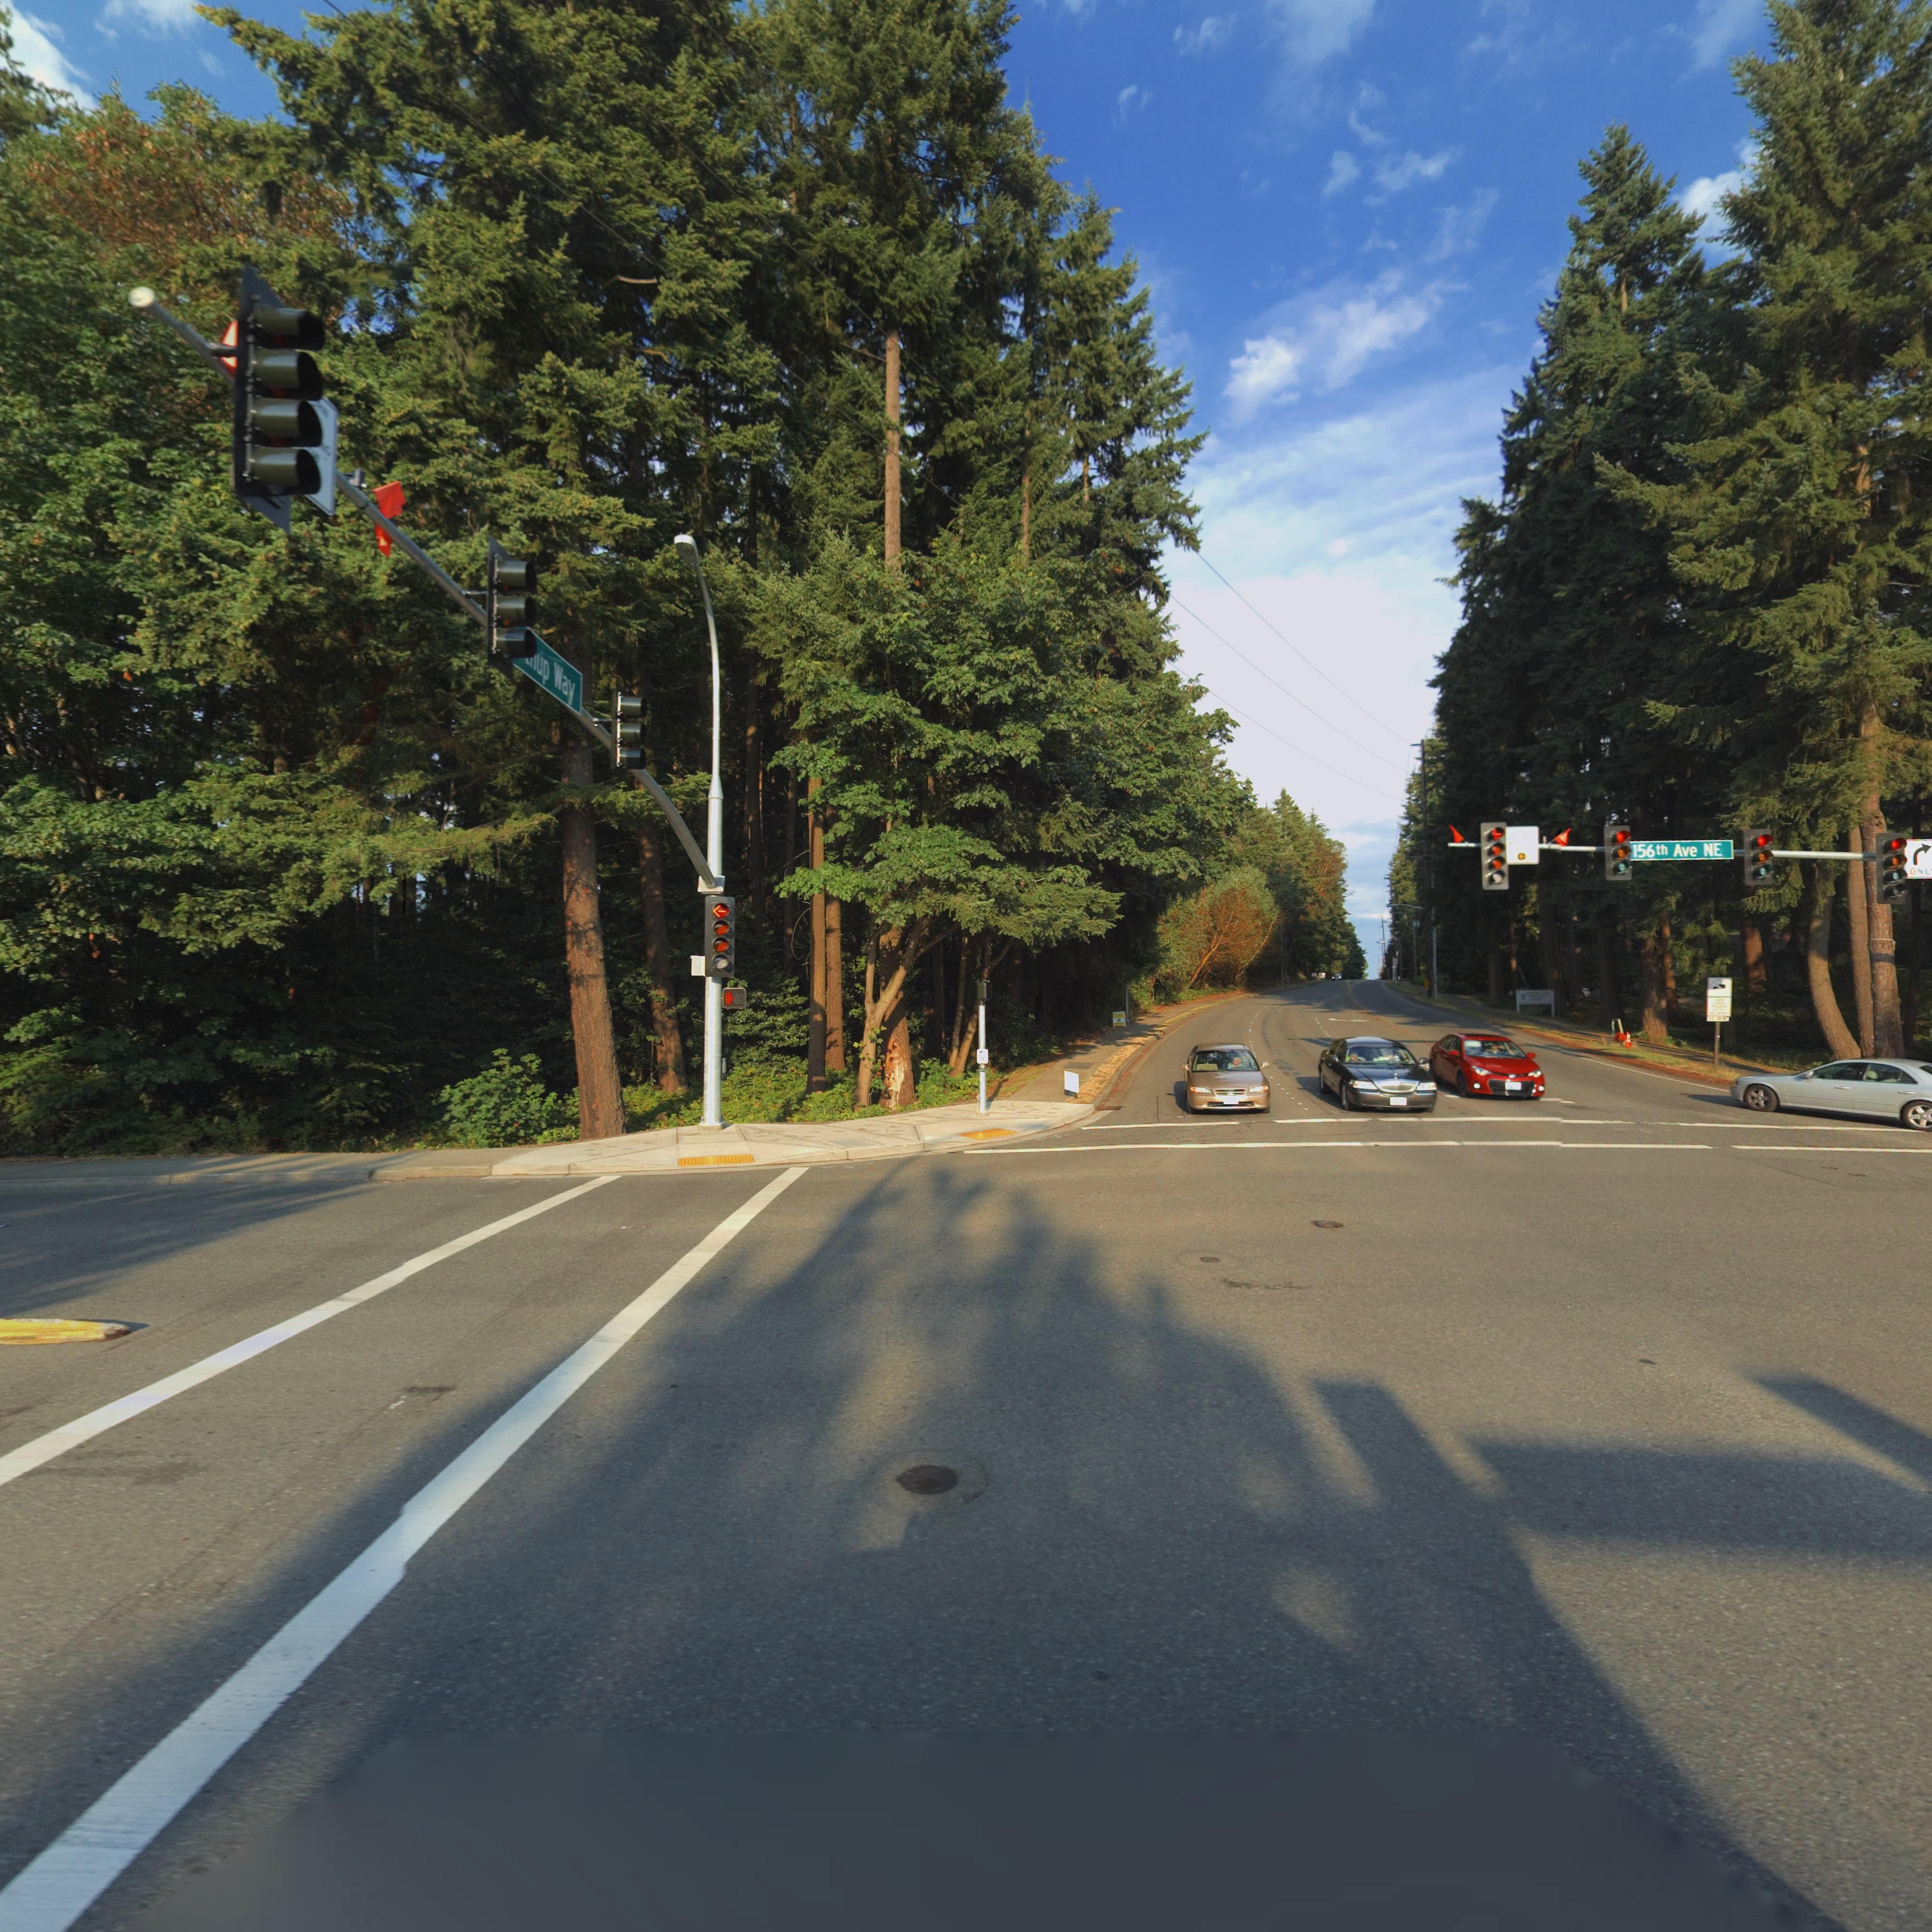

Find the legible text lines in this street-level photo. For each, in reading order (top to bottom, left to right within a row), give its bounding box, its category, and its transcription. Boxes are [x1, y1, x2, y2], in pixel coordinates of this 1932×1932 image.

[524, 645, 576, 707] StreetName: **up Way
[1632, 842, 1722, 858] StreetName: 156th Ave NE